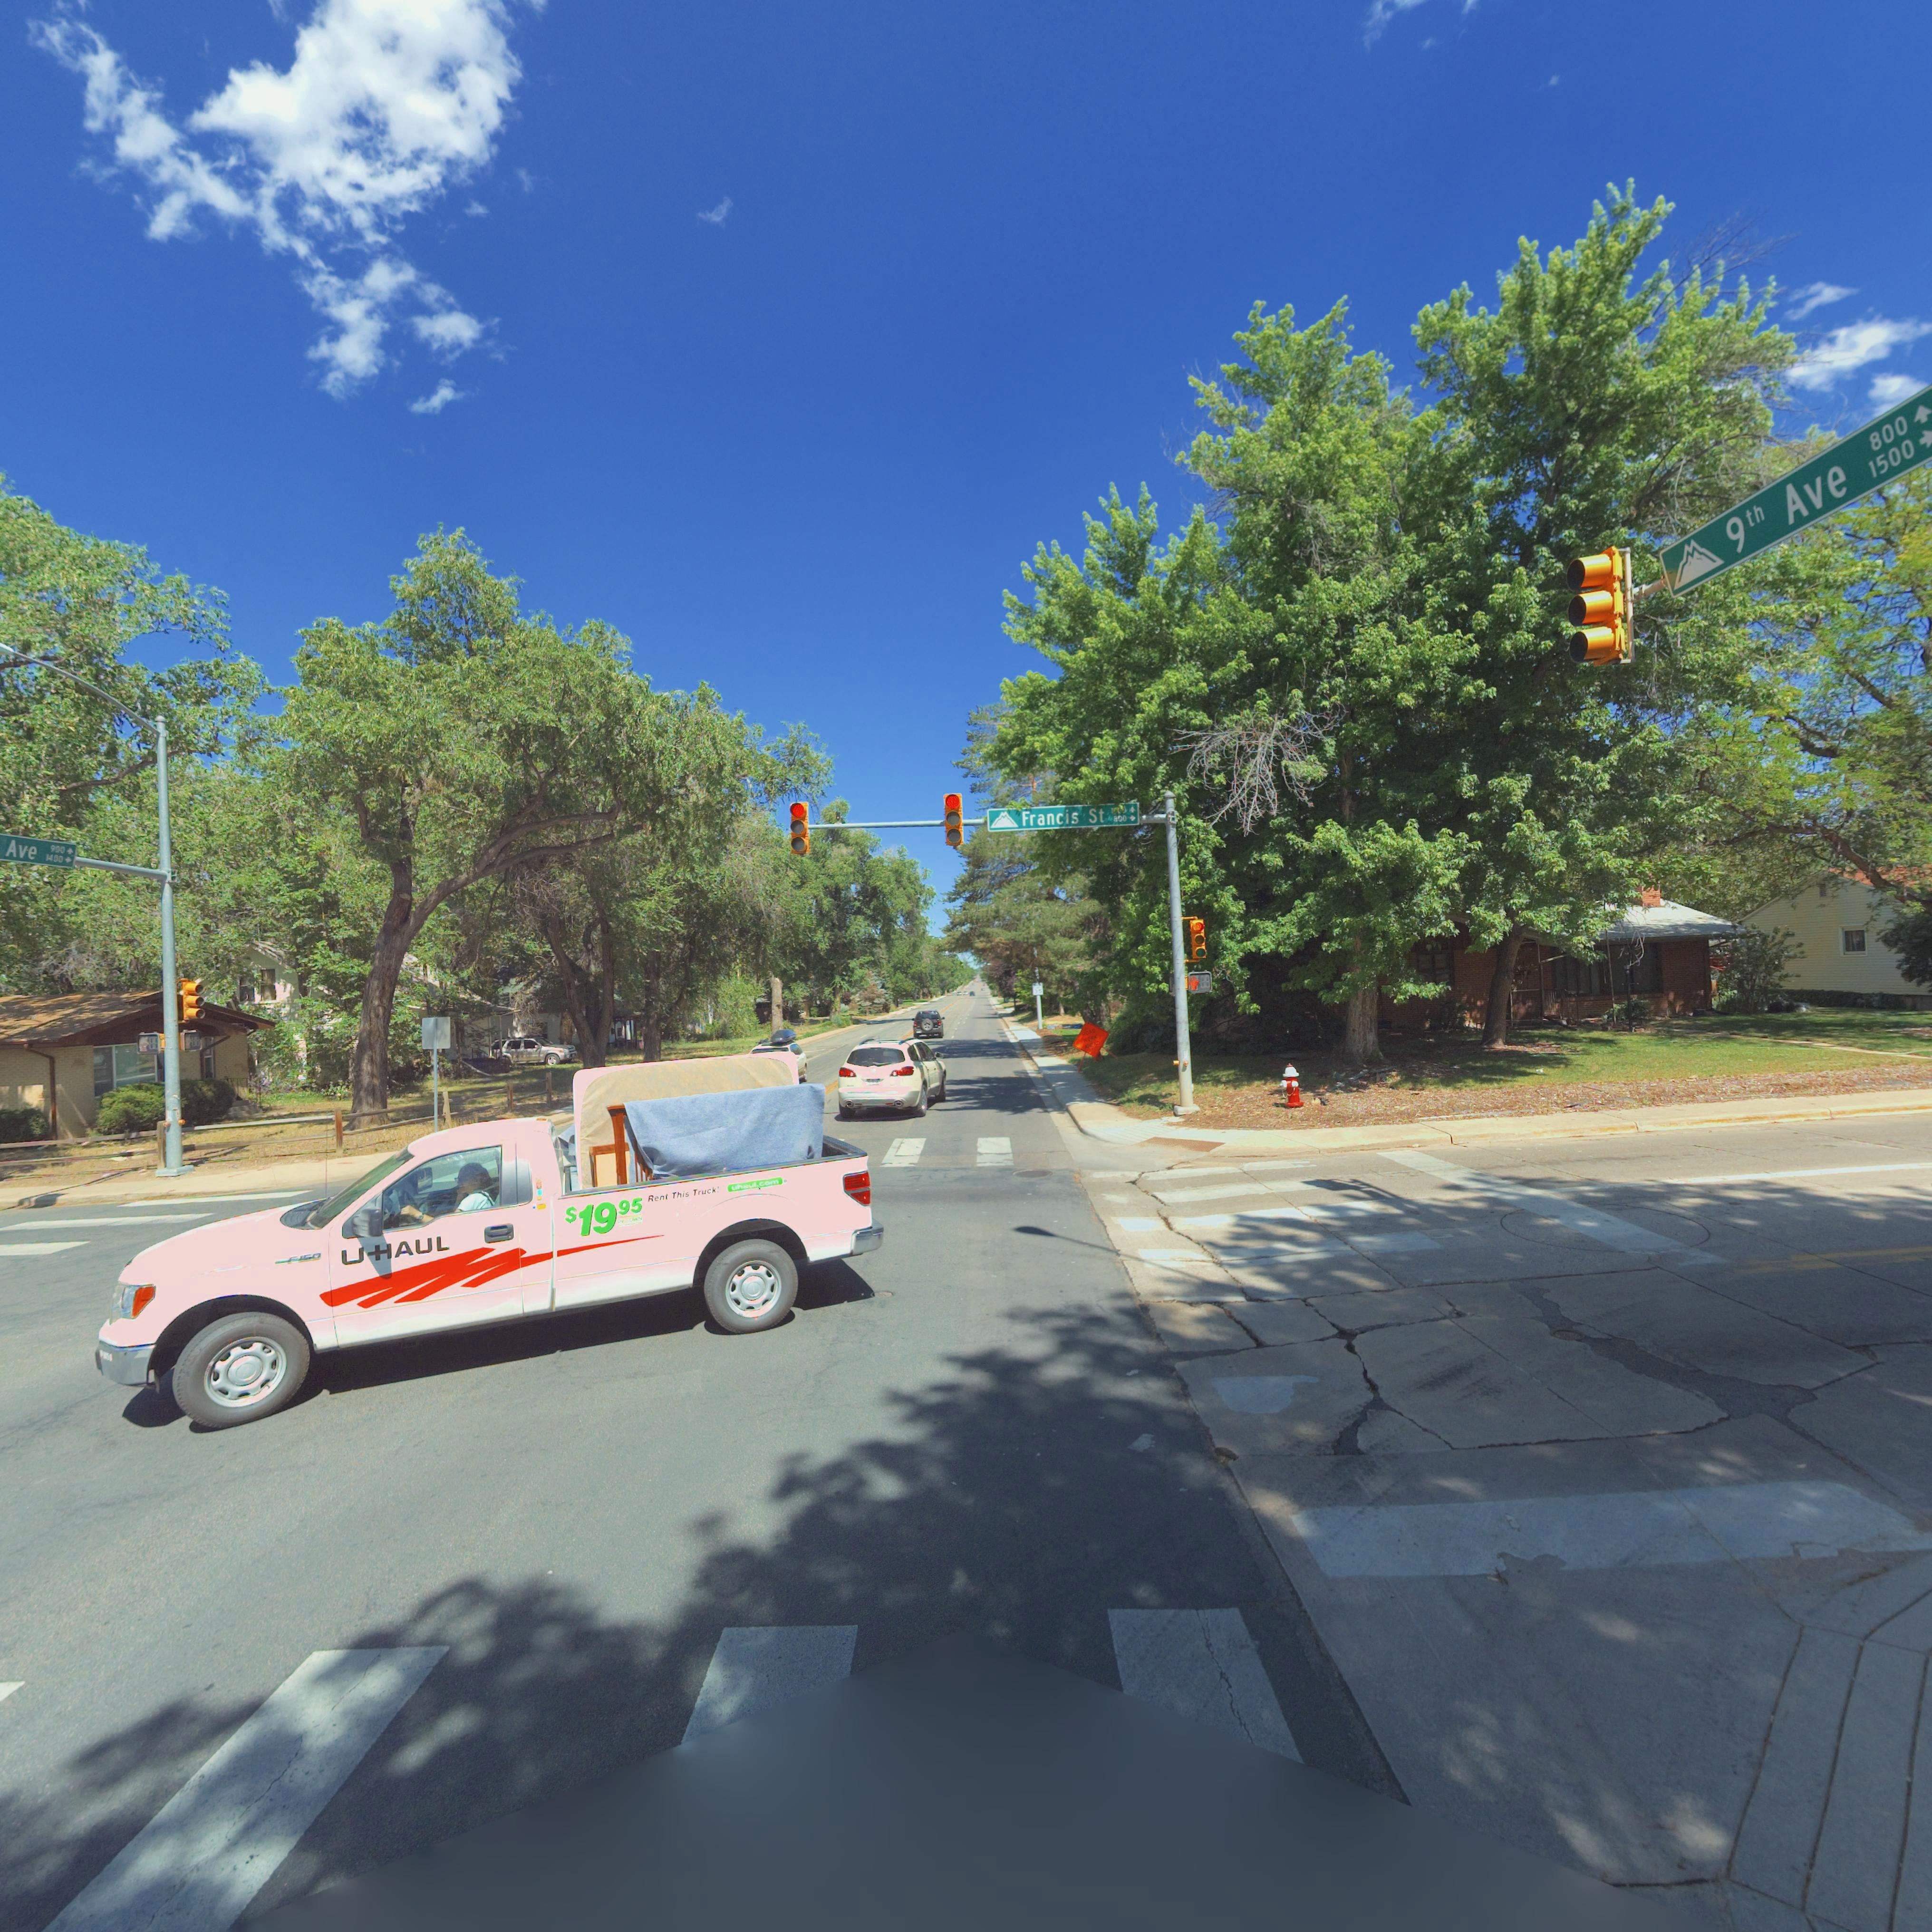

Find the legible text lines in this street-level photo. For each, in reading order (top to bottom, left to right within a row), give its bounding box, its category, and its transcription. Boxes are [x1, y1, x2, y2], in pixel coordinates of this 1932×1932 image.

[1868, 415, 1908, 451] StreetNumberRange: 800
[1868, 438, 1915, 479] StreetNumberRange: 1500
[1725, 464, 1848, 554] StreetName: 9th Ave
[1022, 807, 1104, 826] StreetName: Francis St
[1113, 814, 1136, 822] StreetNumberRange: 800->
[4, 839, 37, 860] StreetName: Ave
[50, 844, 66, 854] StreetNumberRange: 900
[45, 853, 73, 863] StreetNumberRange: 1400->